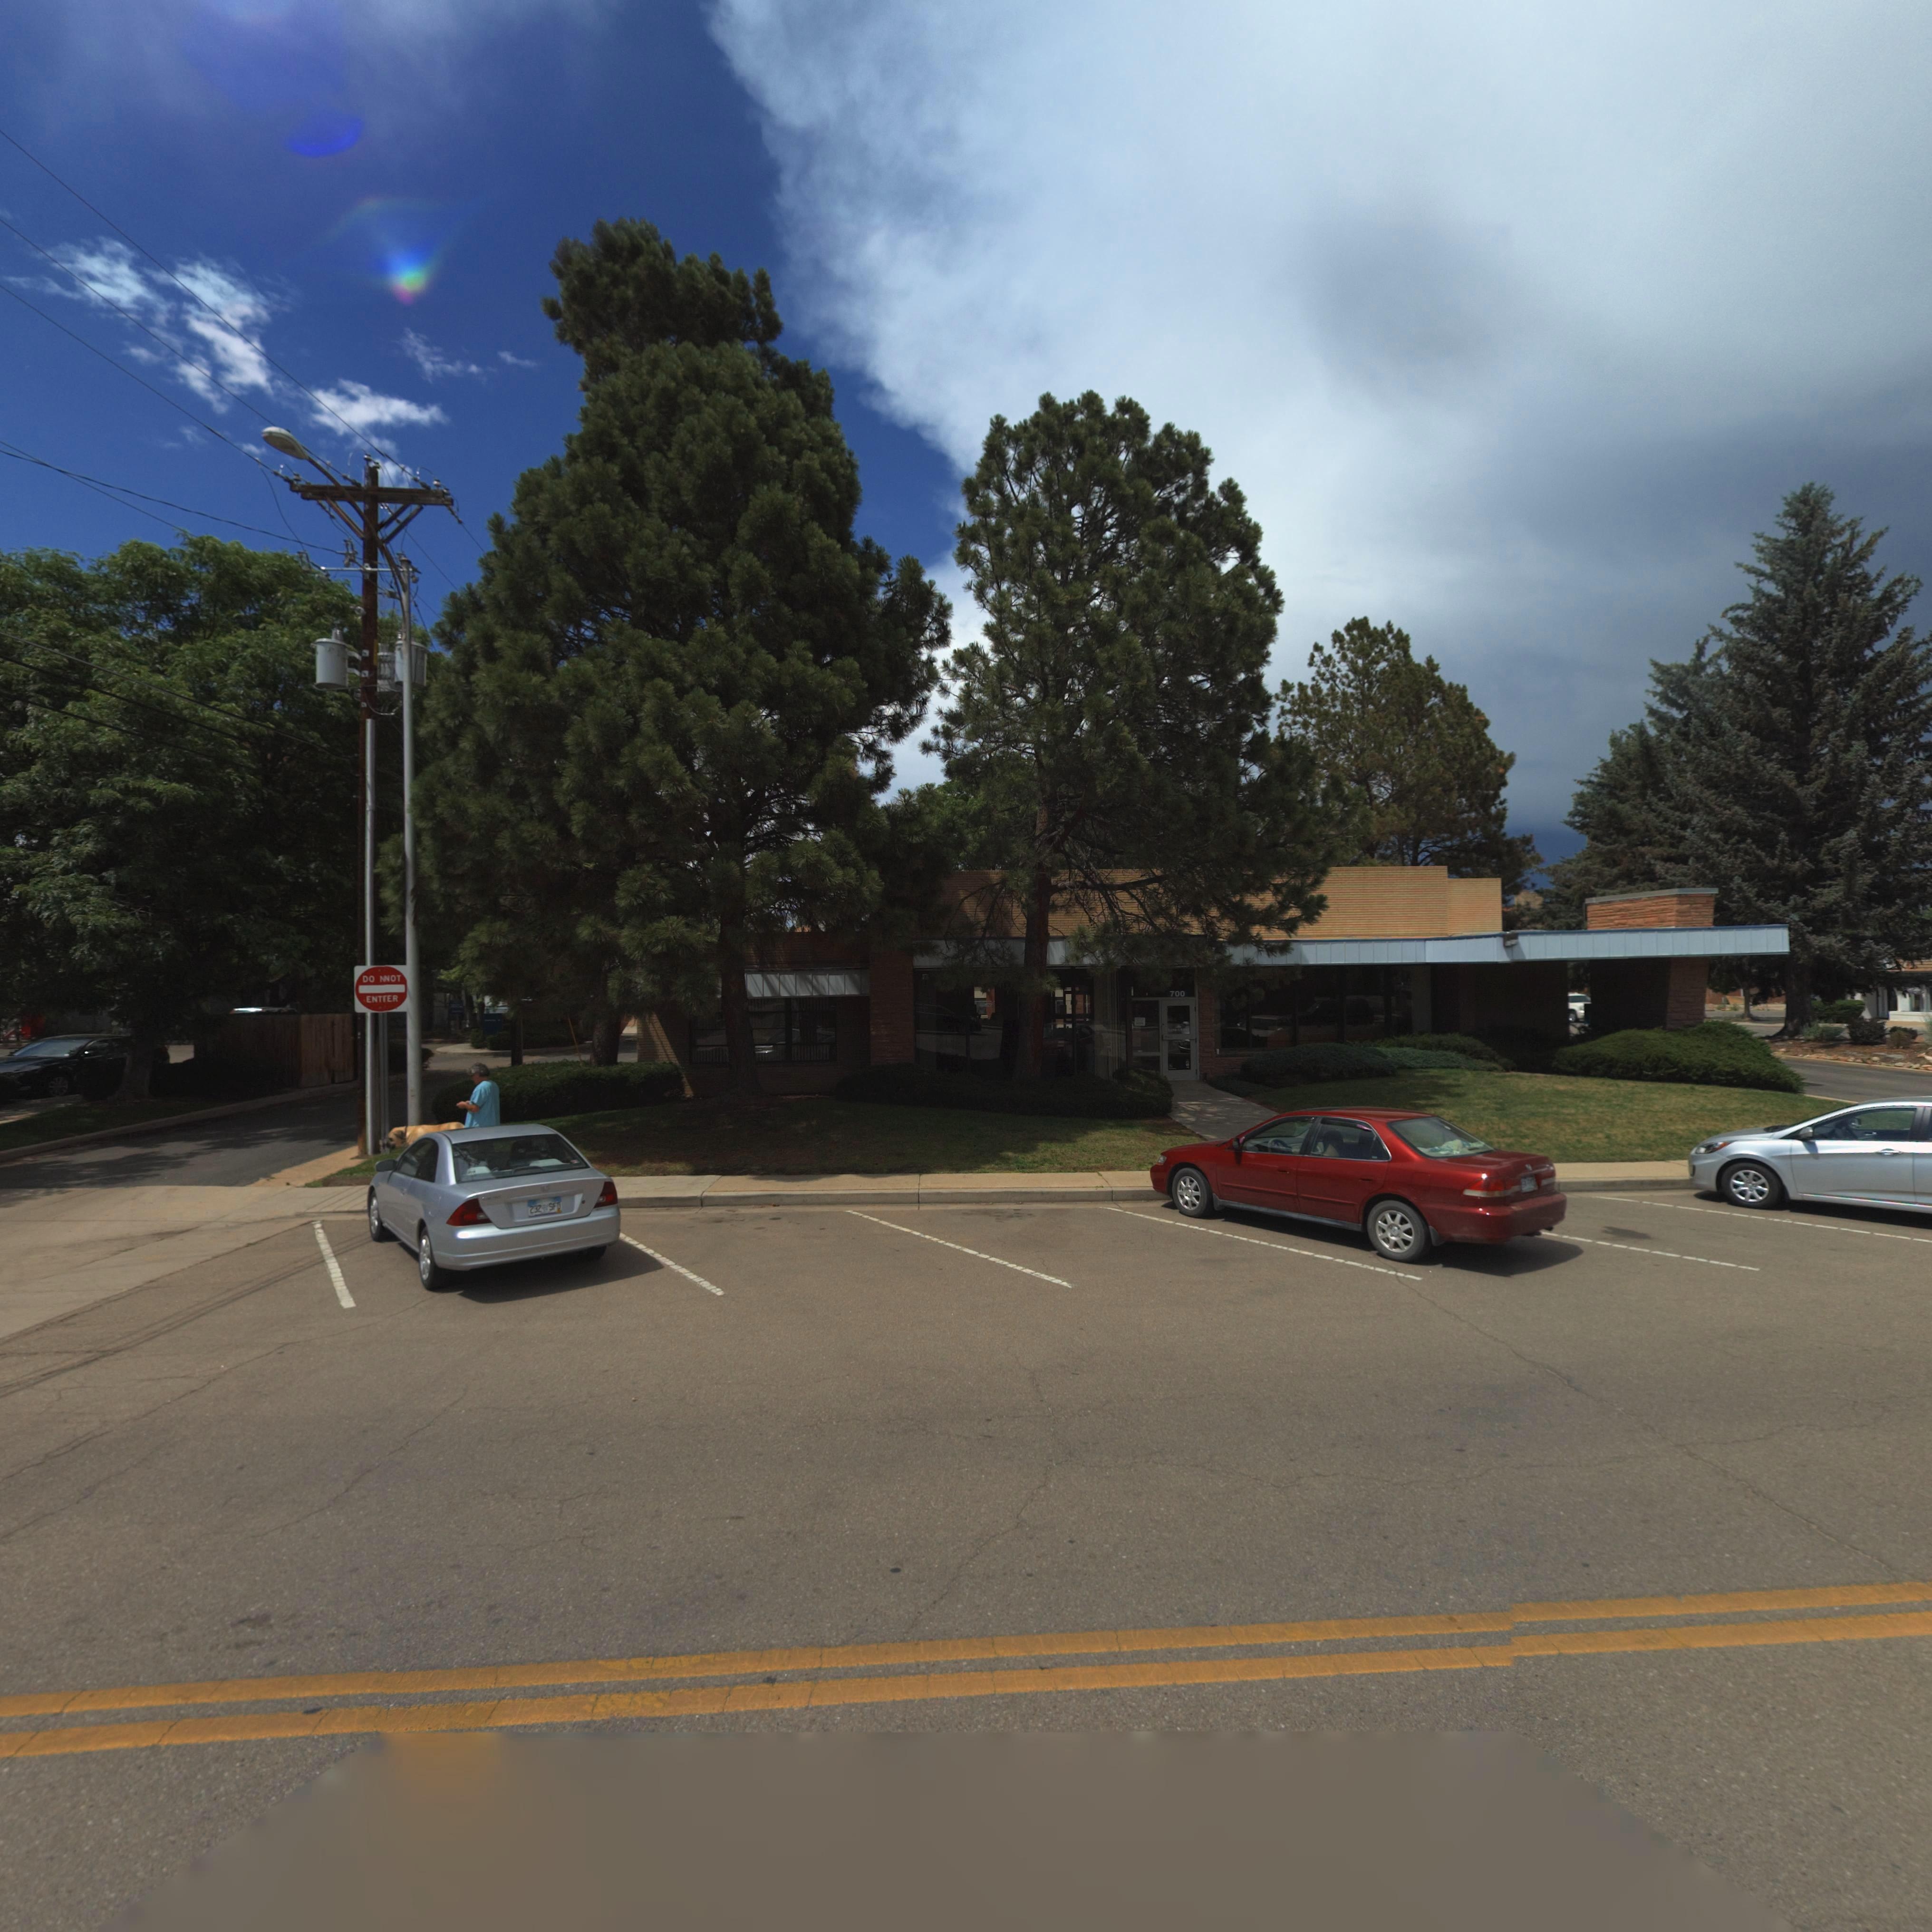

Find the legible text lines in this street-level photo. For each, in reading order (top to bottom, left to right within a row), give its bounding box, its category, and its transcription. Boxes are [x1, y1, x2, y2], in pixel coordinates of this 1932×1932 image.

[1169, 990, 1185, 997] StreetNumber: 700